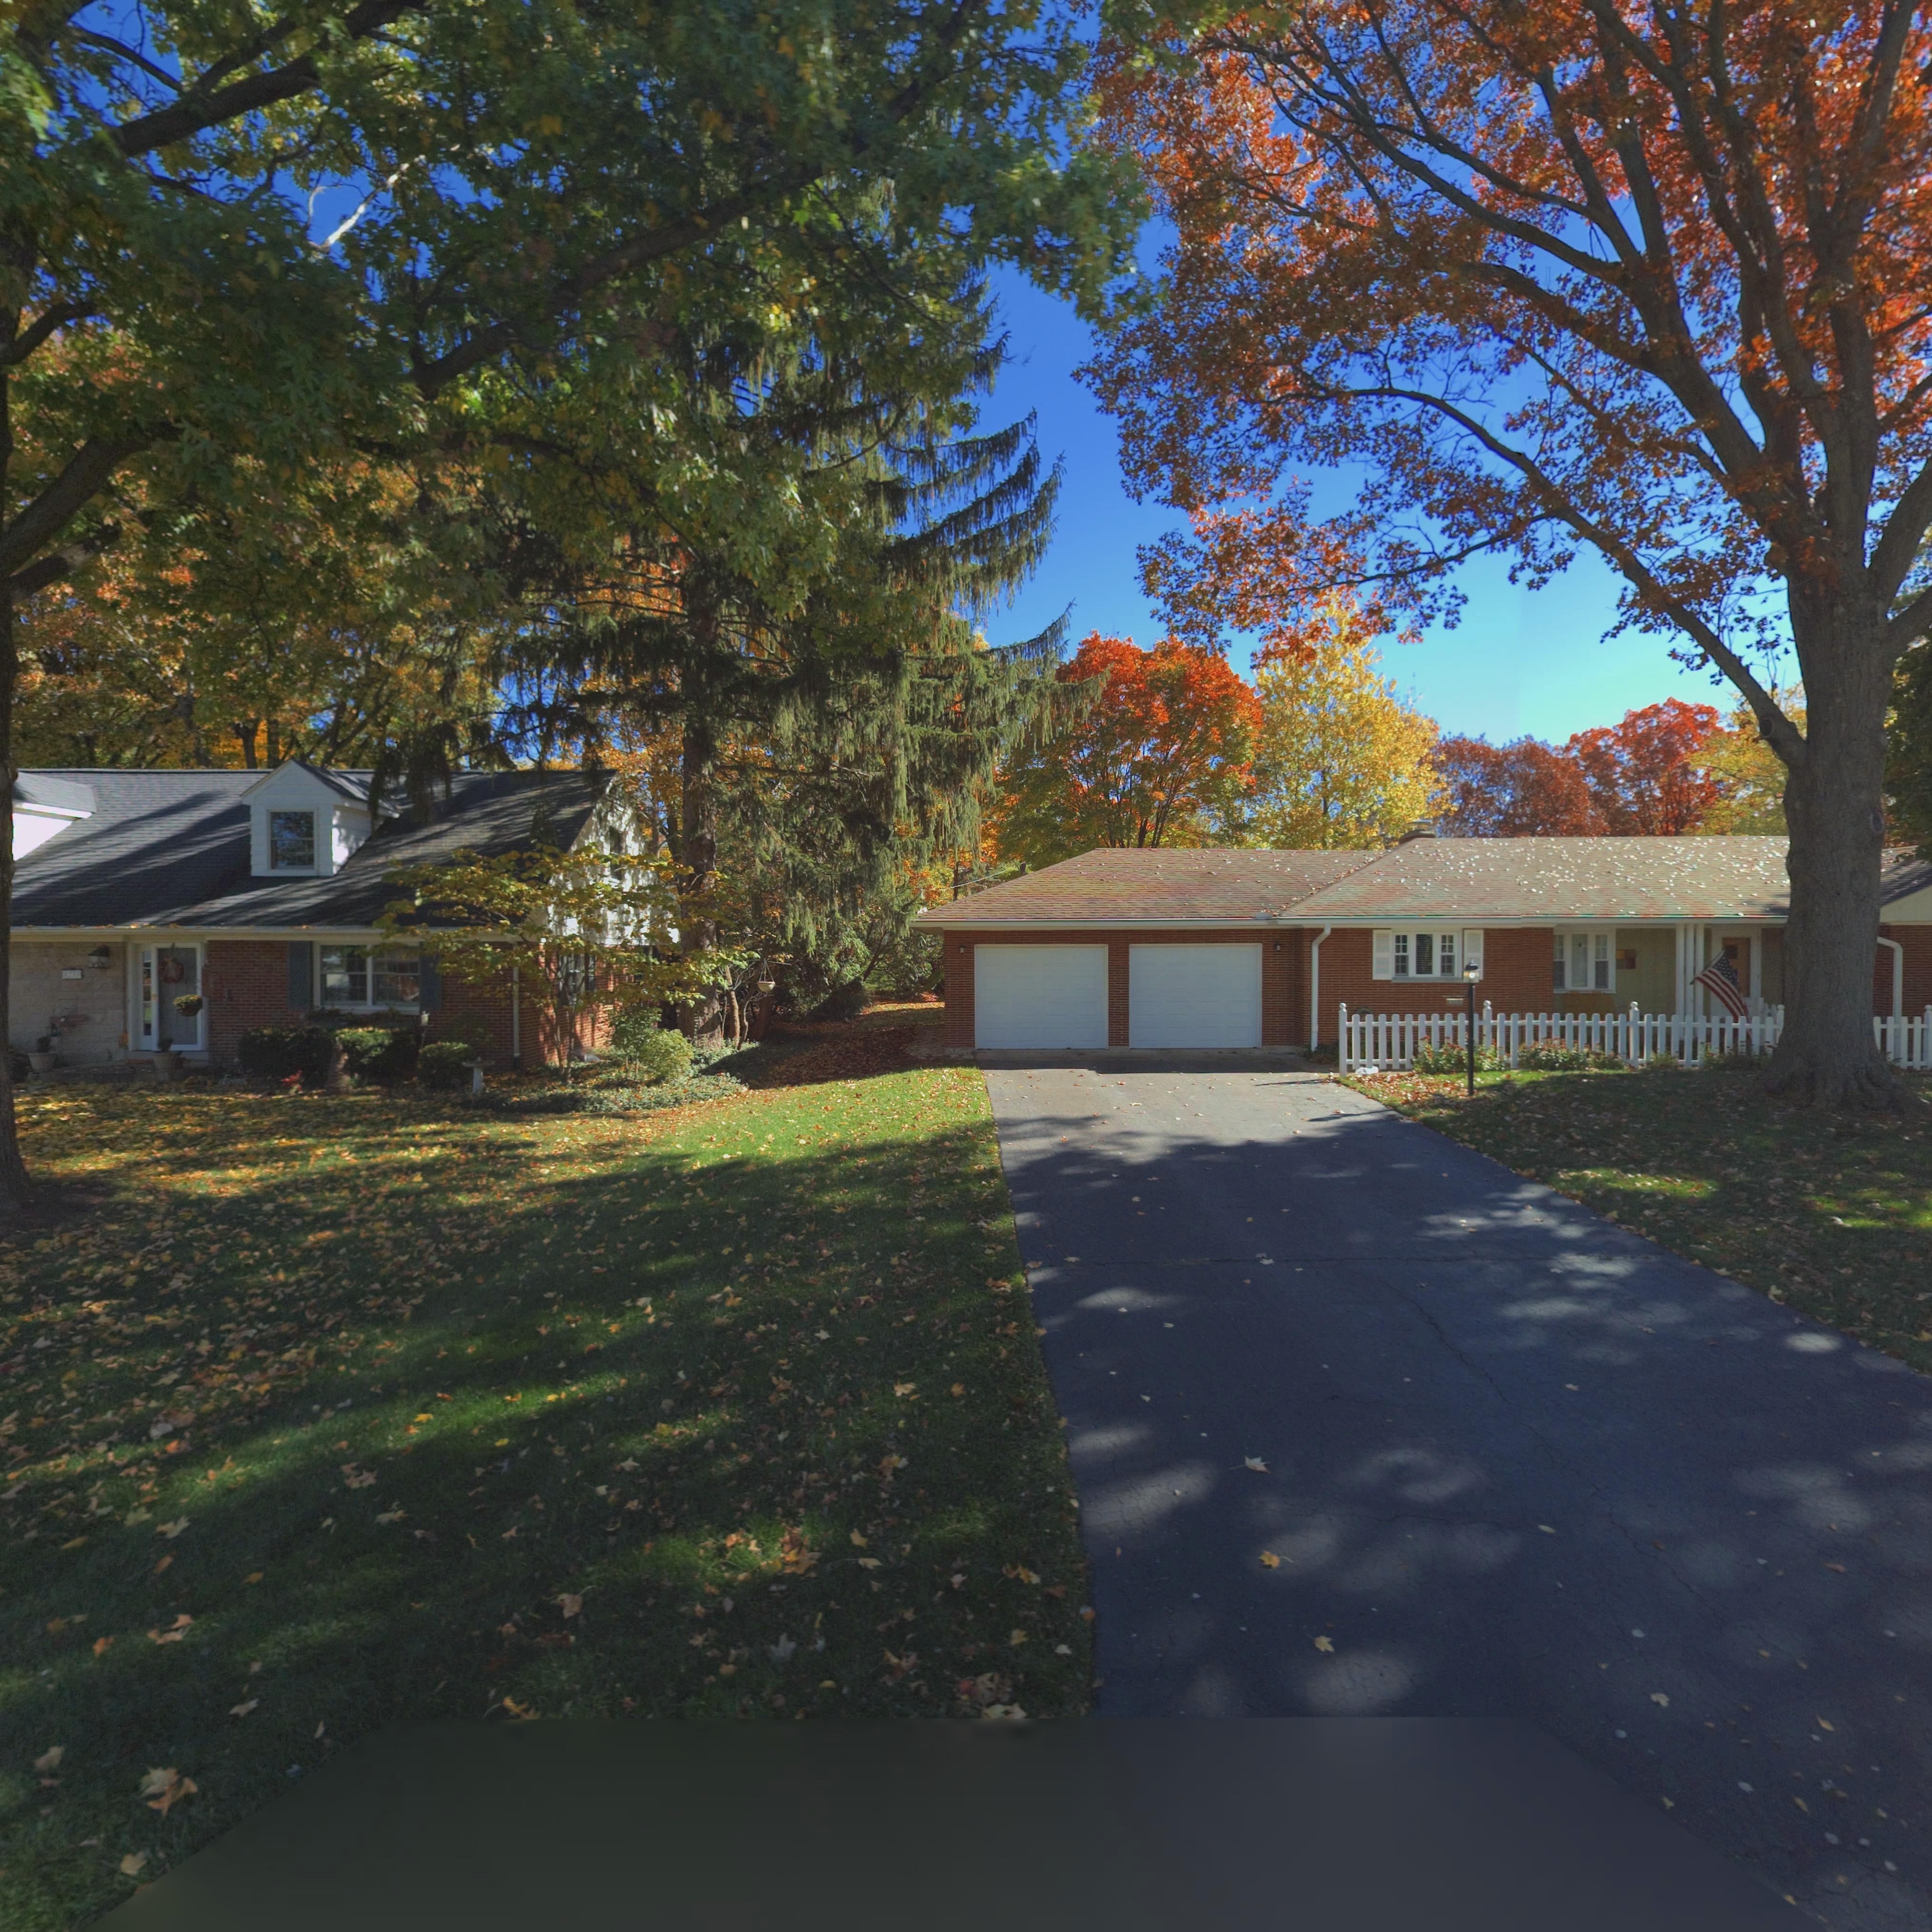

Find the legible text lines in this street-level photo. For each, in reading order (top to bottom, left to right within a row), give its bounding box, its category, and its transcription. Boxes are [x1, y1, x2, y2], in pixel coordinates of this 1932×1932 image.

[63, 971, 80, 978] StreetNumber: 42**